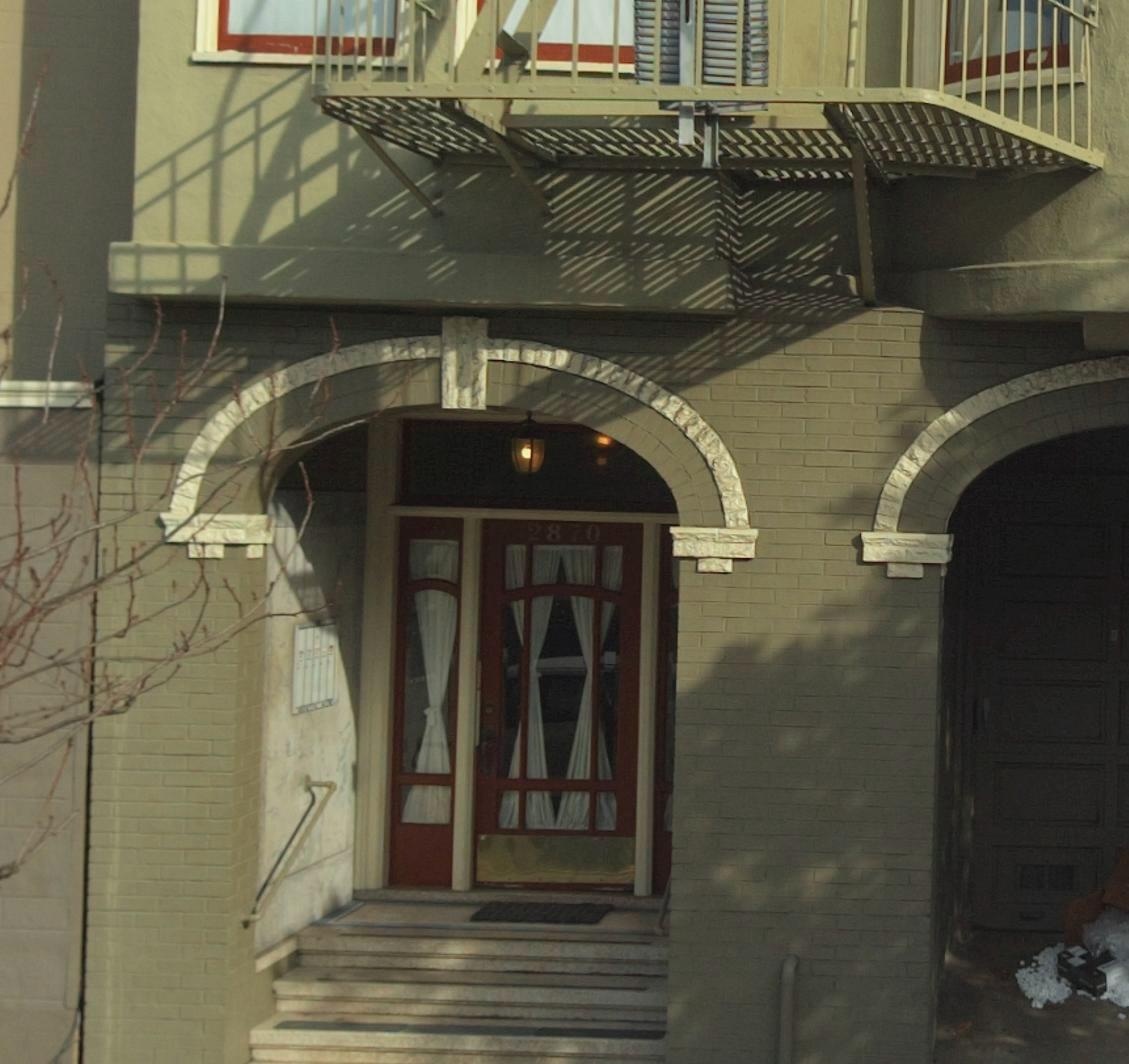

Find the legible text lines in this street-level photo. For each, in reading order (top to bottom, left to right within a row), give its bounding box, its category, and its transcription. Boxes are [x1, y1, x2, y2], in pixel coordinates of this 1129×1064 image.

[525, 520, 602, 545] StreetNumber: 2870